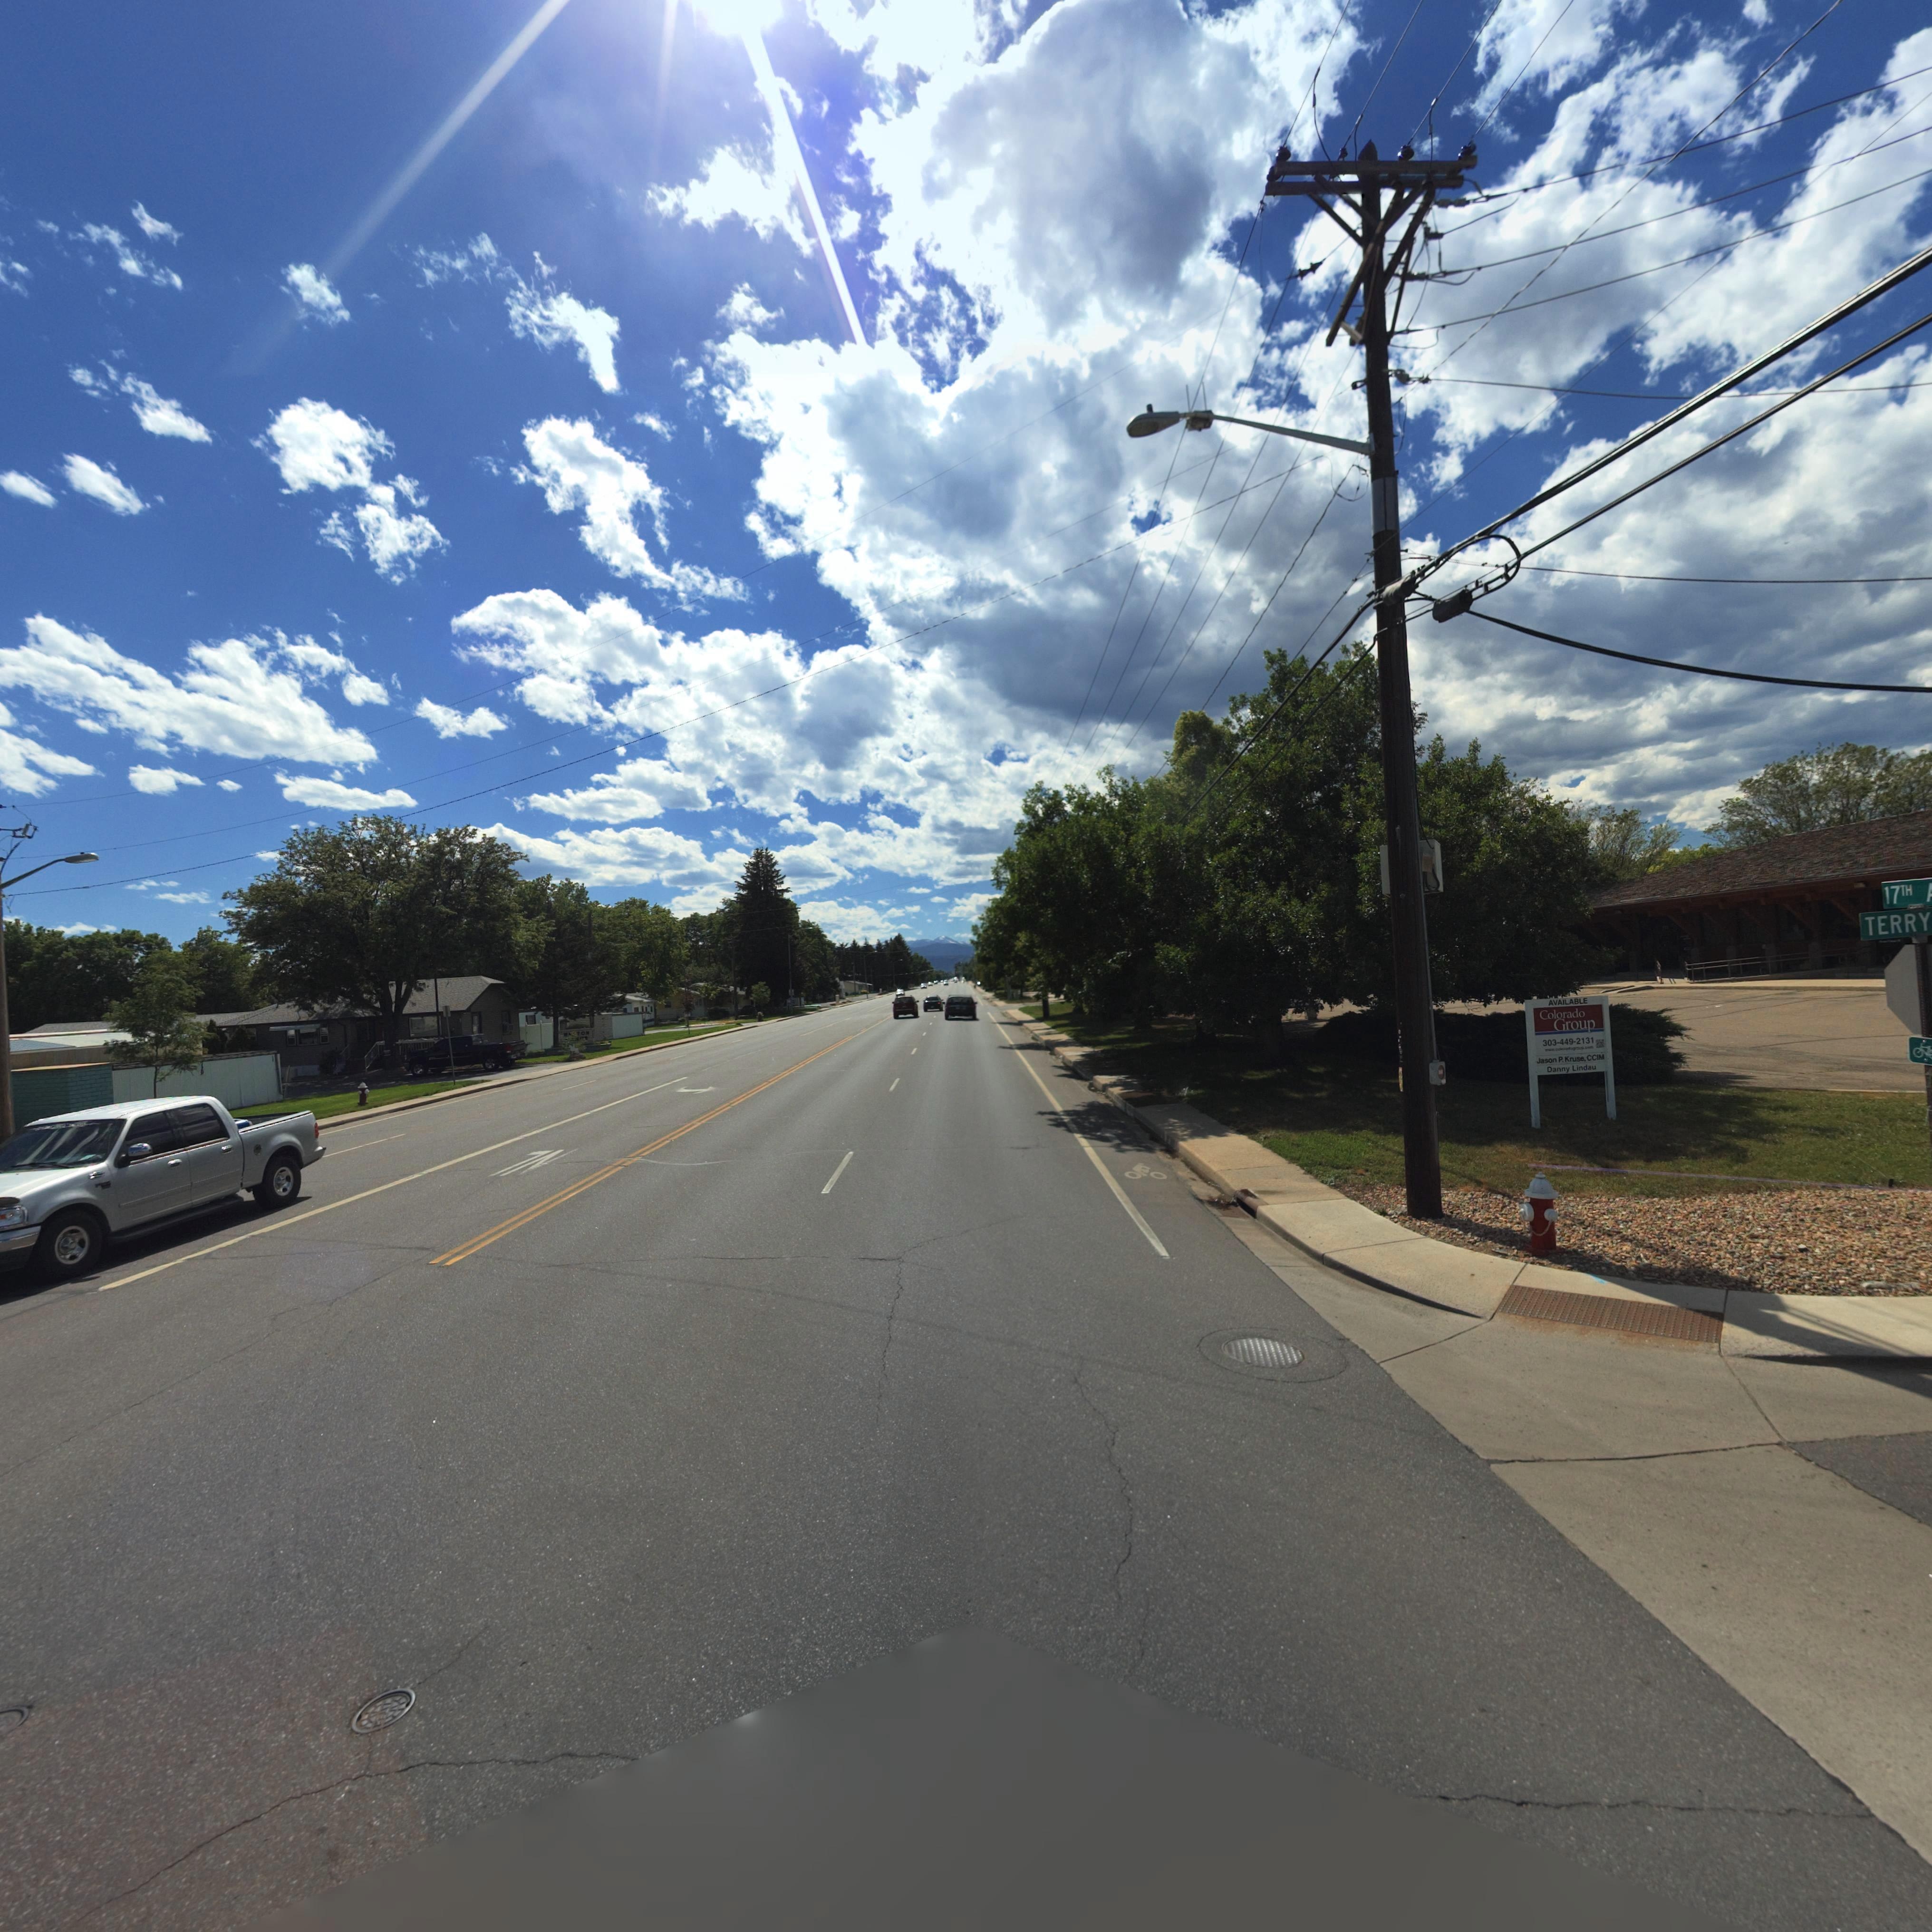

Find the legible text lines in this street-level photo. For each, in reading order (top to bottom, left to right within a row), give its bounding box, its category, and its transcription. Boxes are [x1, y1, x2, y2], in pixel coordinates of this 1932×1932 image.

[1883, 883, 1913, 905] StreetName: 17TH
[1864, 911, 1931, 937] StreetName: TERRY
[563, 1035, 588, 1042] BusinessName: ***O*
[562, 1030, 589, 1037] BusinessName: W*STON